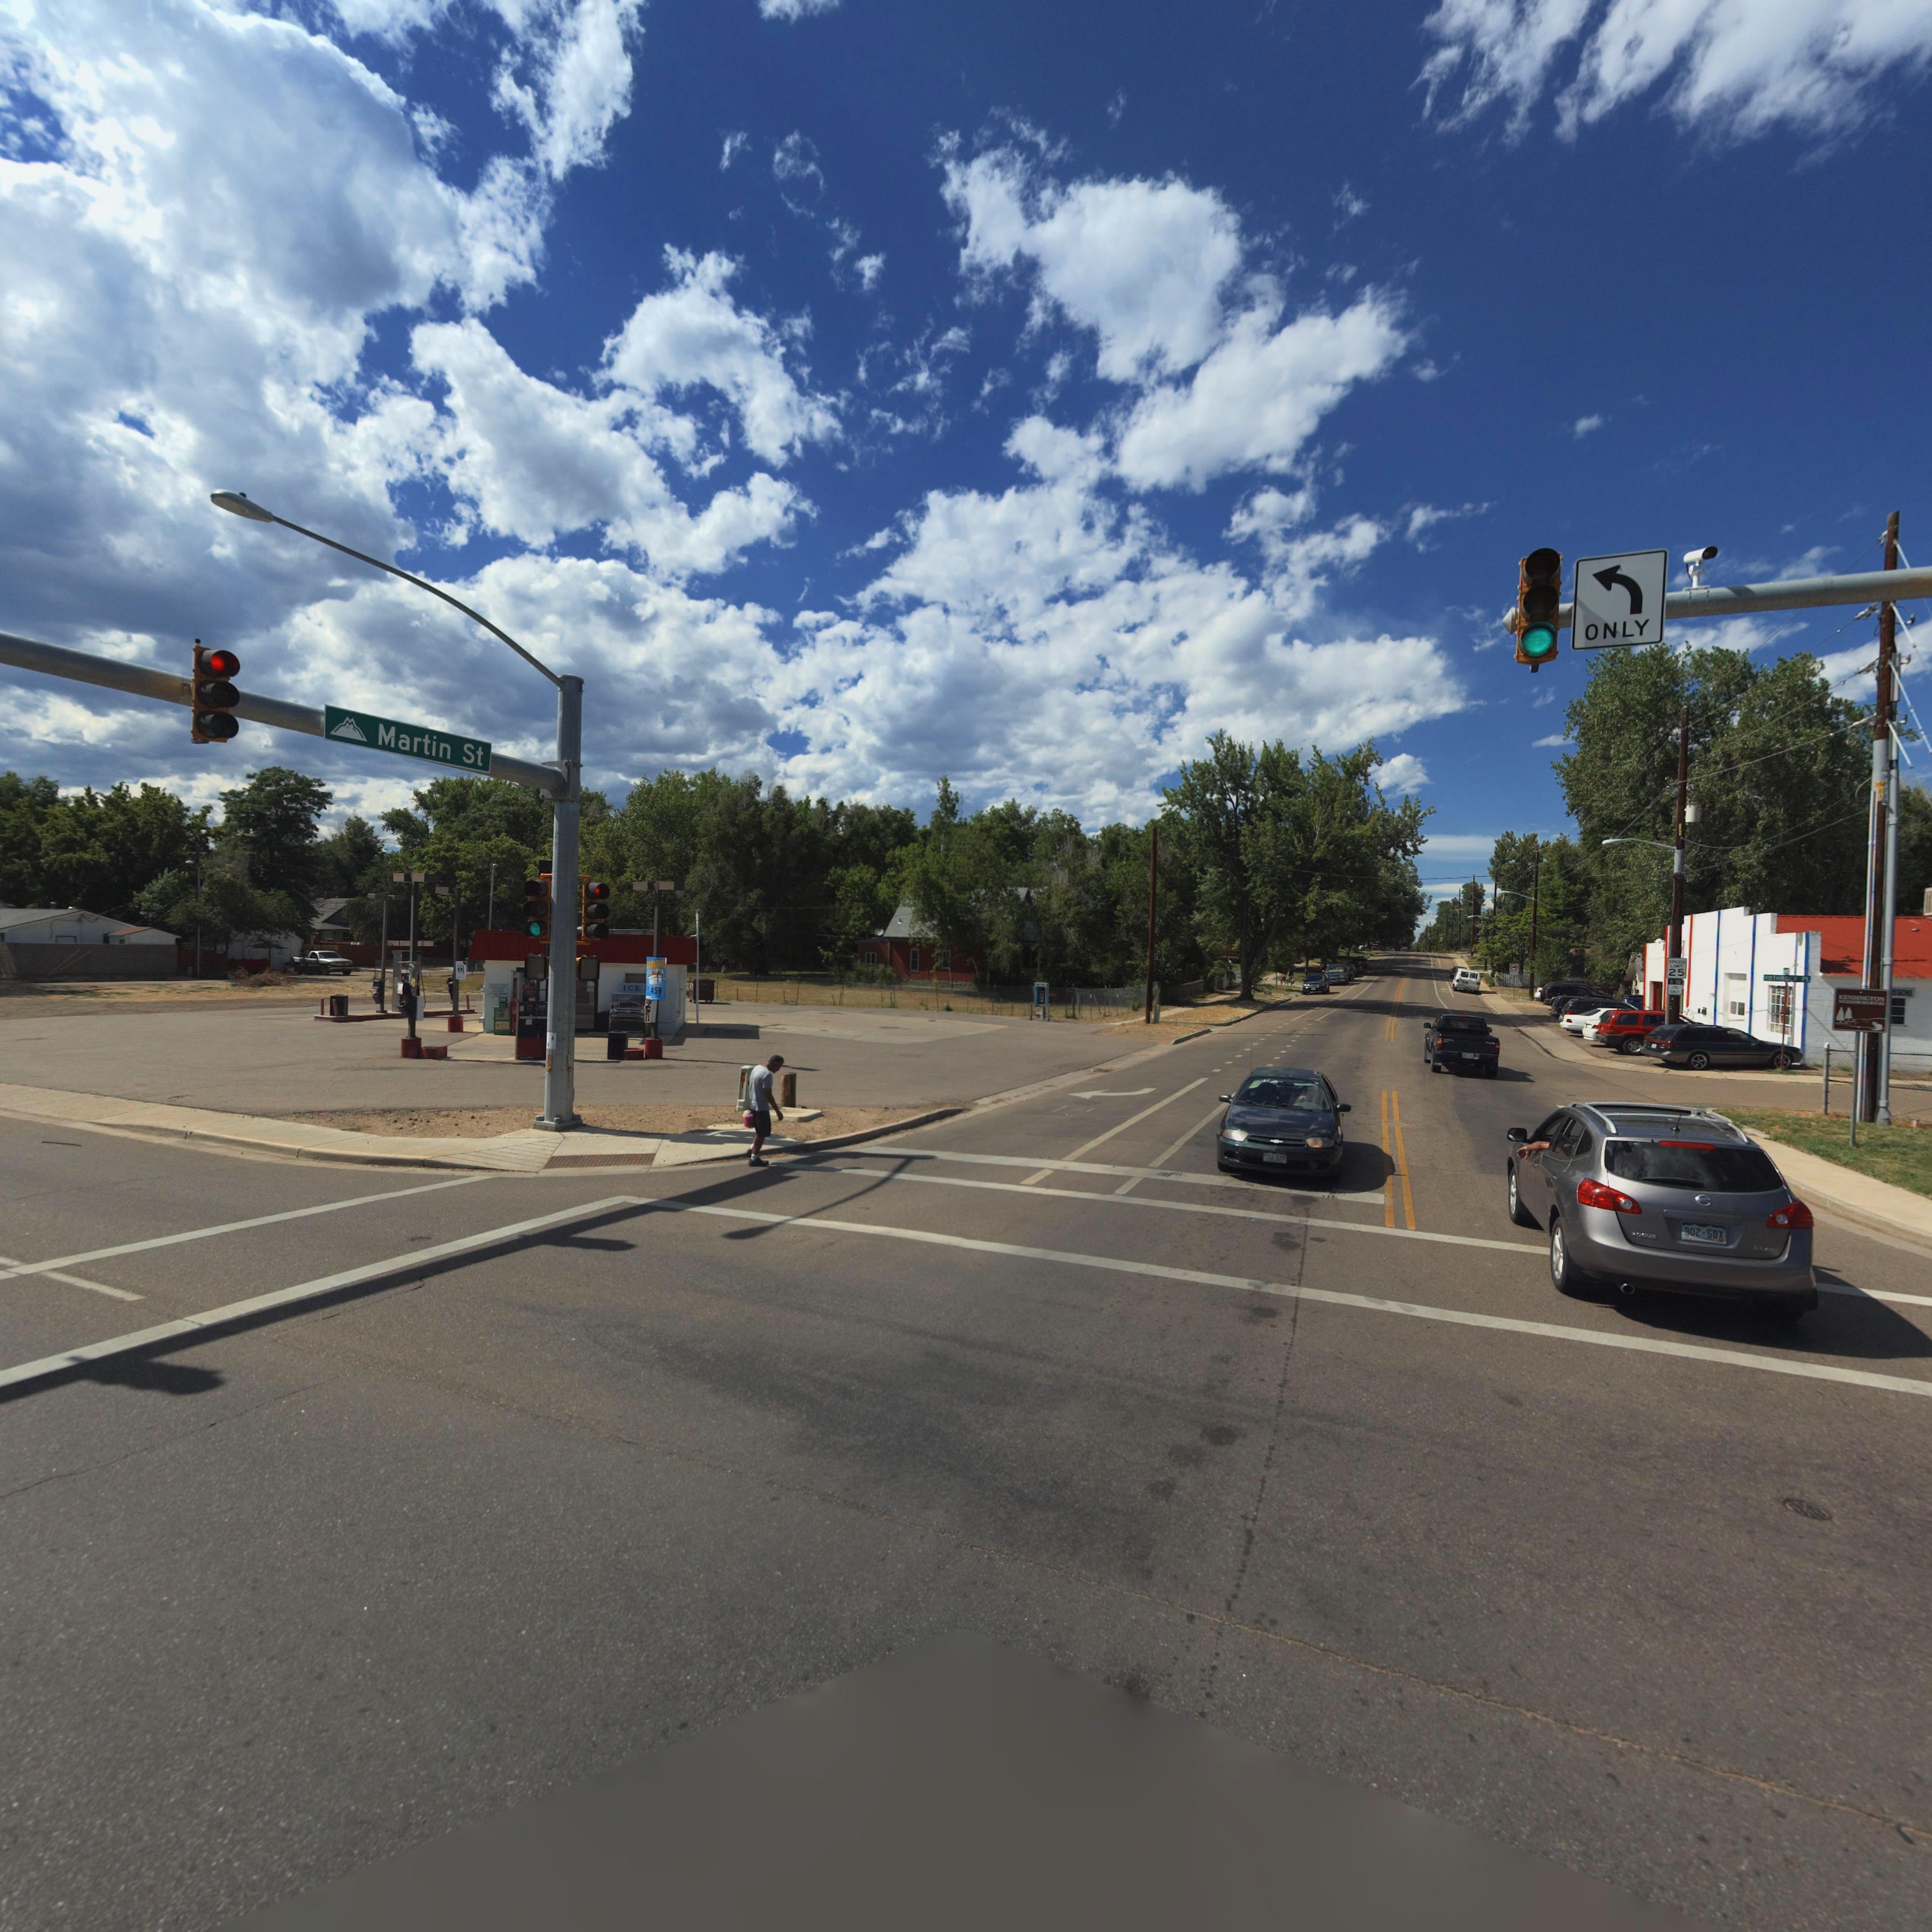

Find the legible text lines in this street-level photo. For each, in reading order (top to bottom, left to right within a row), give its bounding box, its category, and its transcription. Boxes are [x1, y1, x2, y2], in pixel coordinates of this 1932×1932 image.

[377, 723, 484, 767] StreetName: Martin St
[1764, 975, 1809, 982] StreetName: ROTHROCK PL